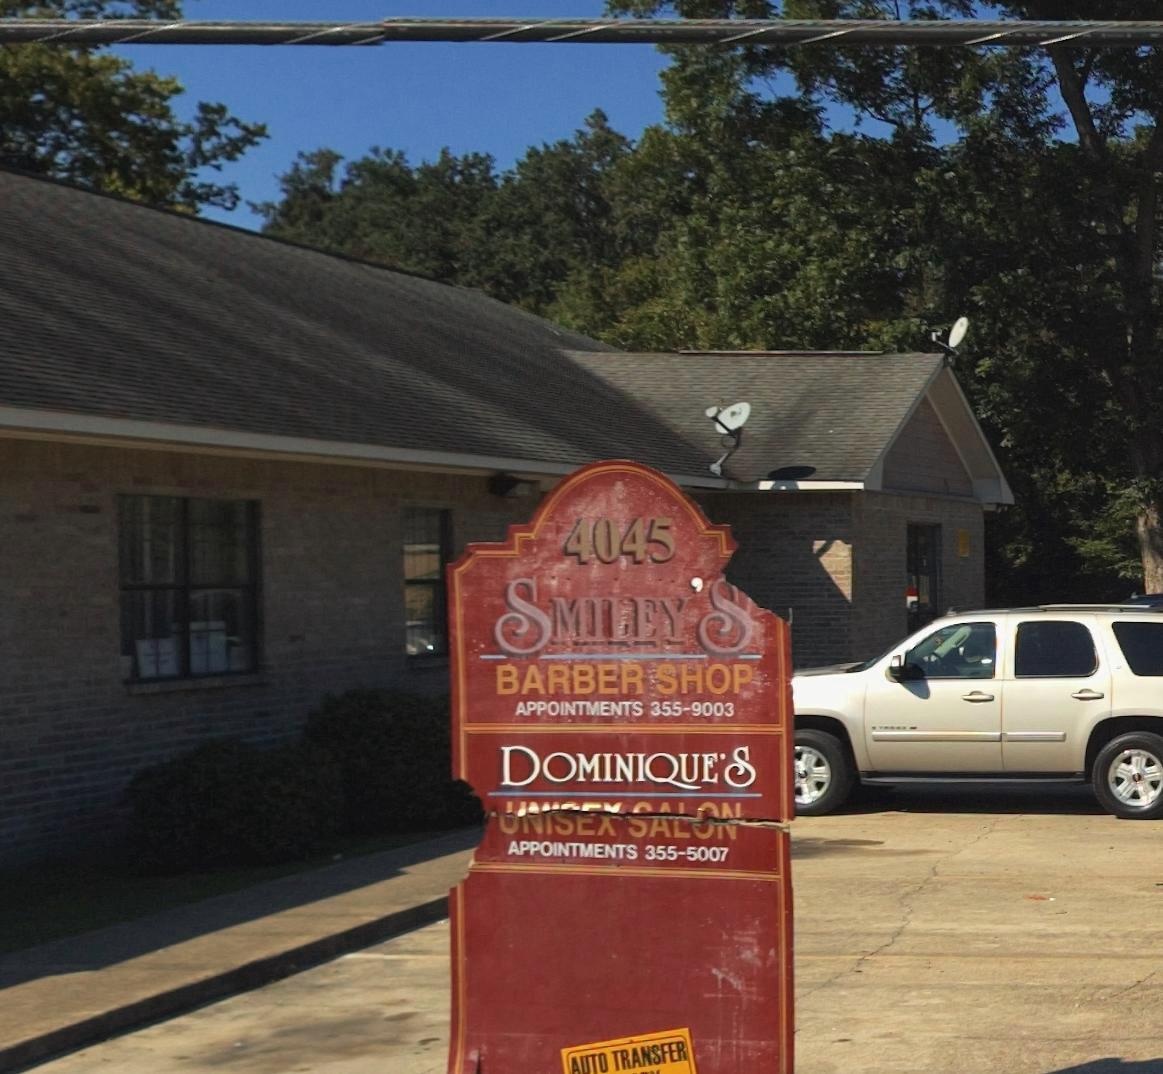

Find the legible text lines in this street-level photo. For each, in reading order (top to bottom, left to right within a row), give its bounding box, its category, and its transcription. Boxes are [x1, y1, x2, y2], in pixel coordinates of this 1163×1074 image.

[562, 515, 677, 565] StreetNumber: 4045
[492, 569, 756, 661] BusinessName: SMILEY'S
[493, 662, 757, 699] None: BARBER SHOP
[508, 699, 737, 720] None: APPOINTMENTS 355-9003
[497, 742, 759, 792] BusinessName: DOMINIQUE'S
[500, 837, 731, 866] None: APPOINTMENTS 355-5007
[569, 1038, 689, 1074] None: AUTO TRANSFER